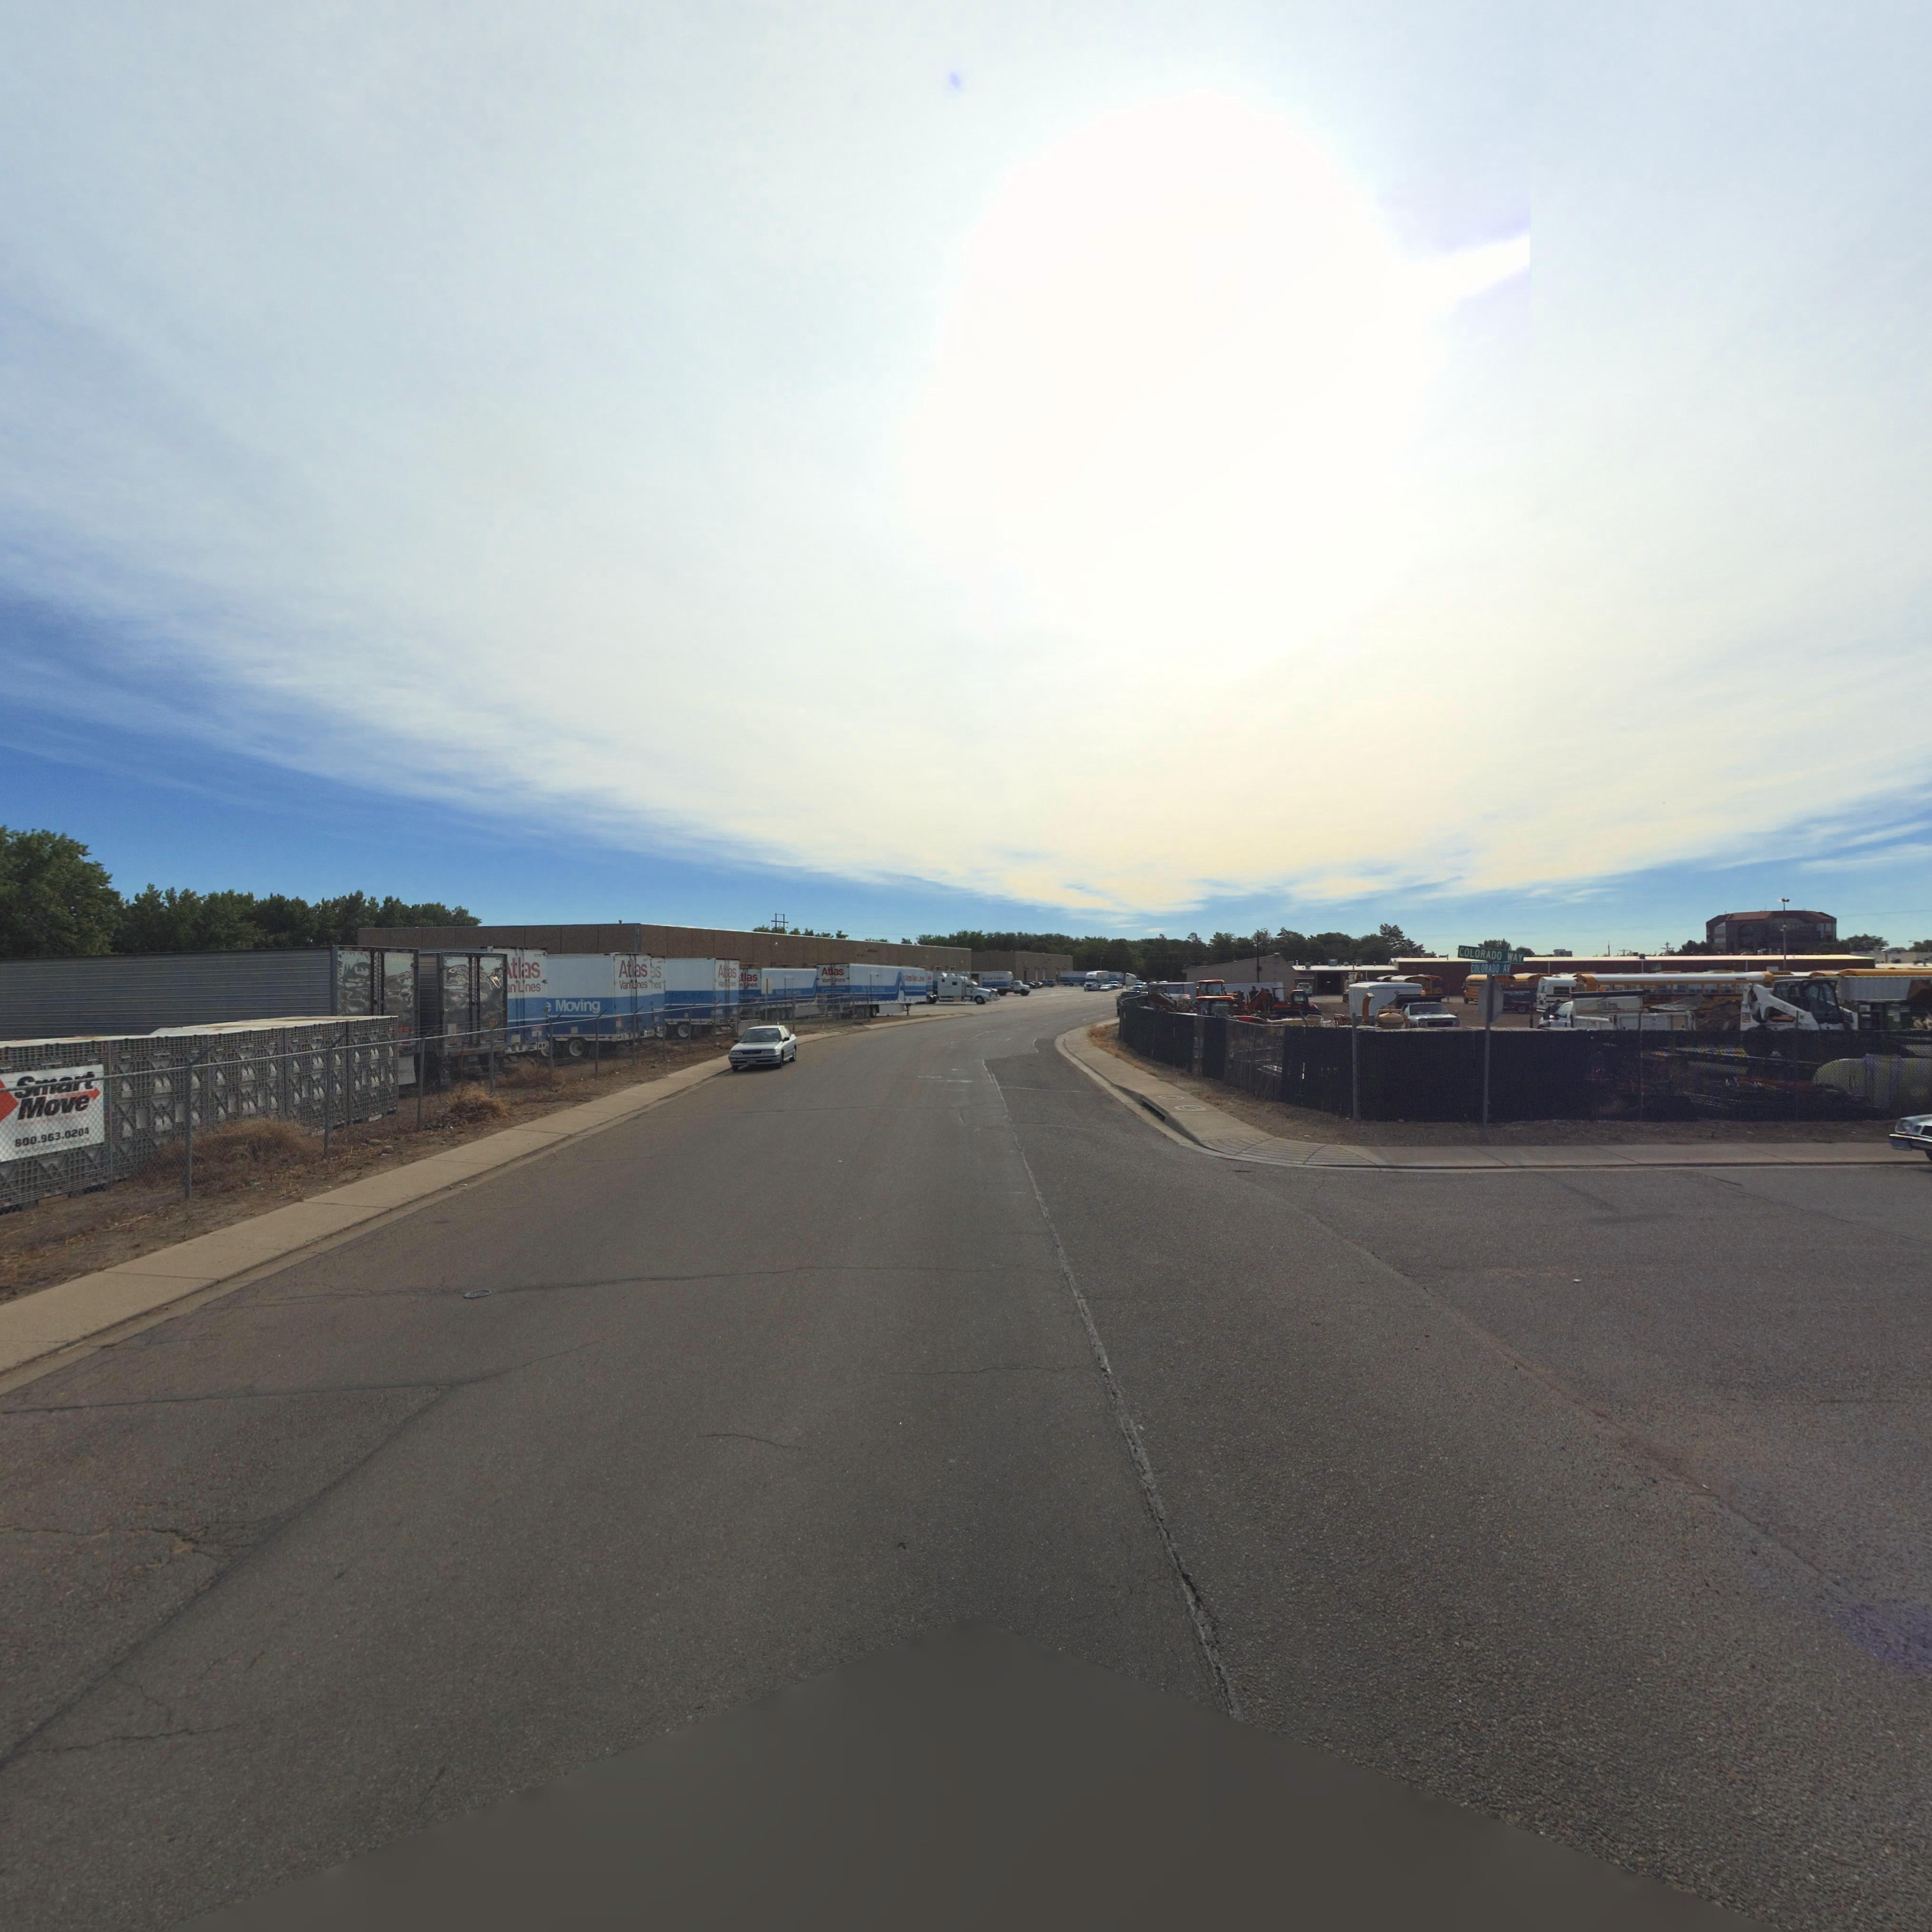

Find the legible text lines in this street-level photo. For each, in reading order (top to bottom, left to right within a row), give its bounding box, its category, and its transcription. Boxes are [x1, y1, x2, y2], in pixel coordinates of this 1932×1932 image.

[1459, 947, 1523, 963] StreetName: COLORADO WAY
[1470, 963, 1511, 973] StreetName: COLORADO AV